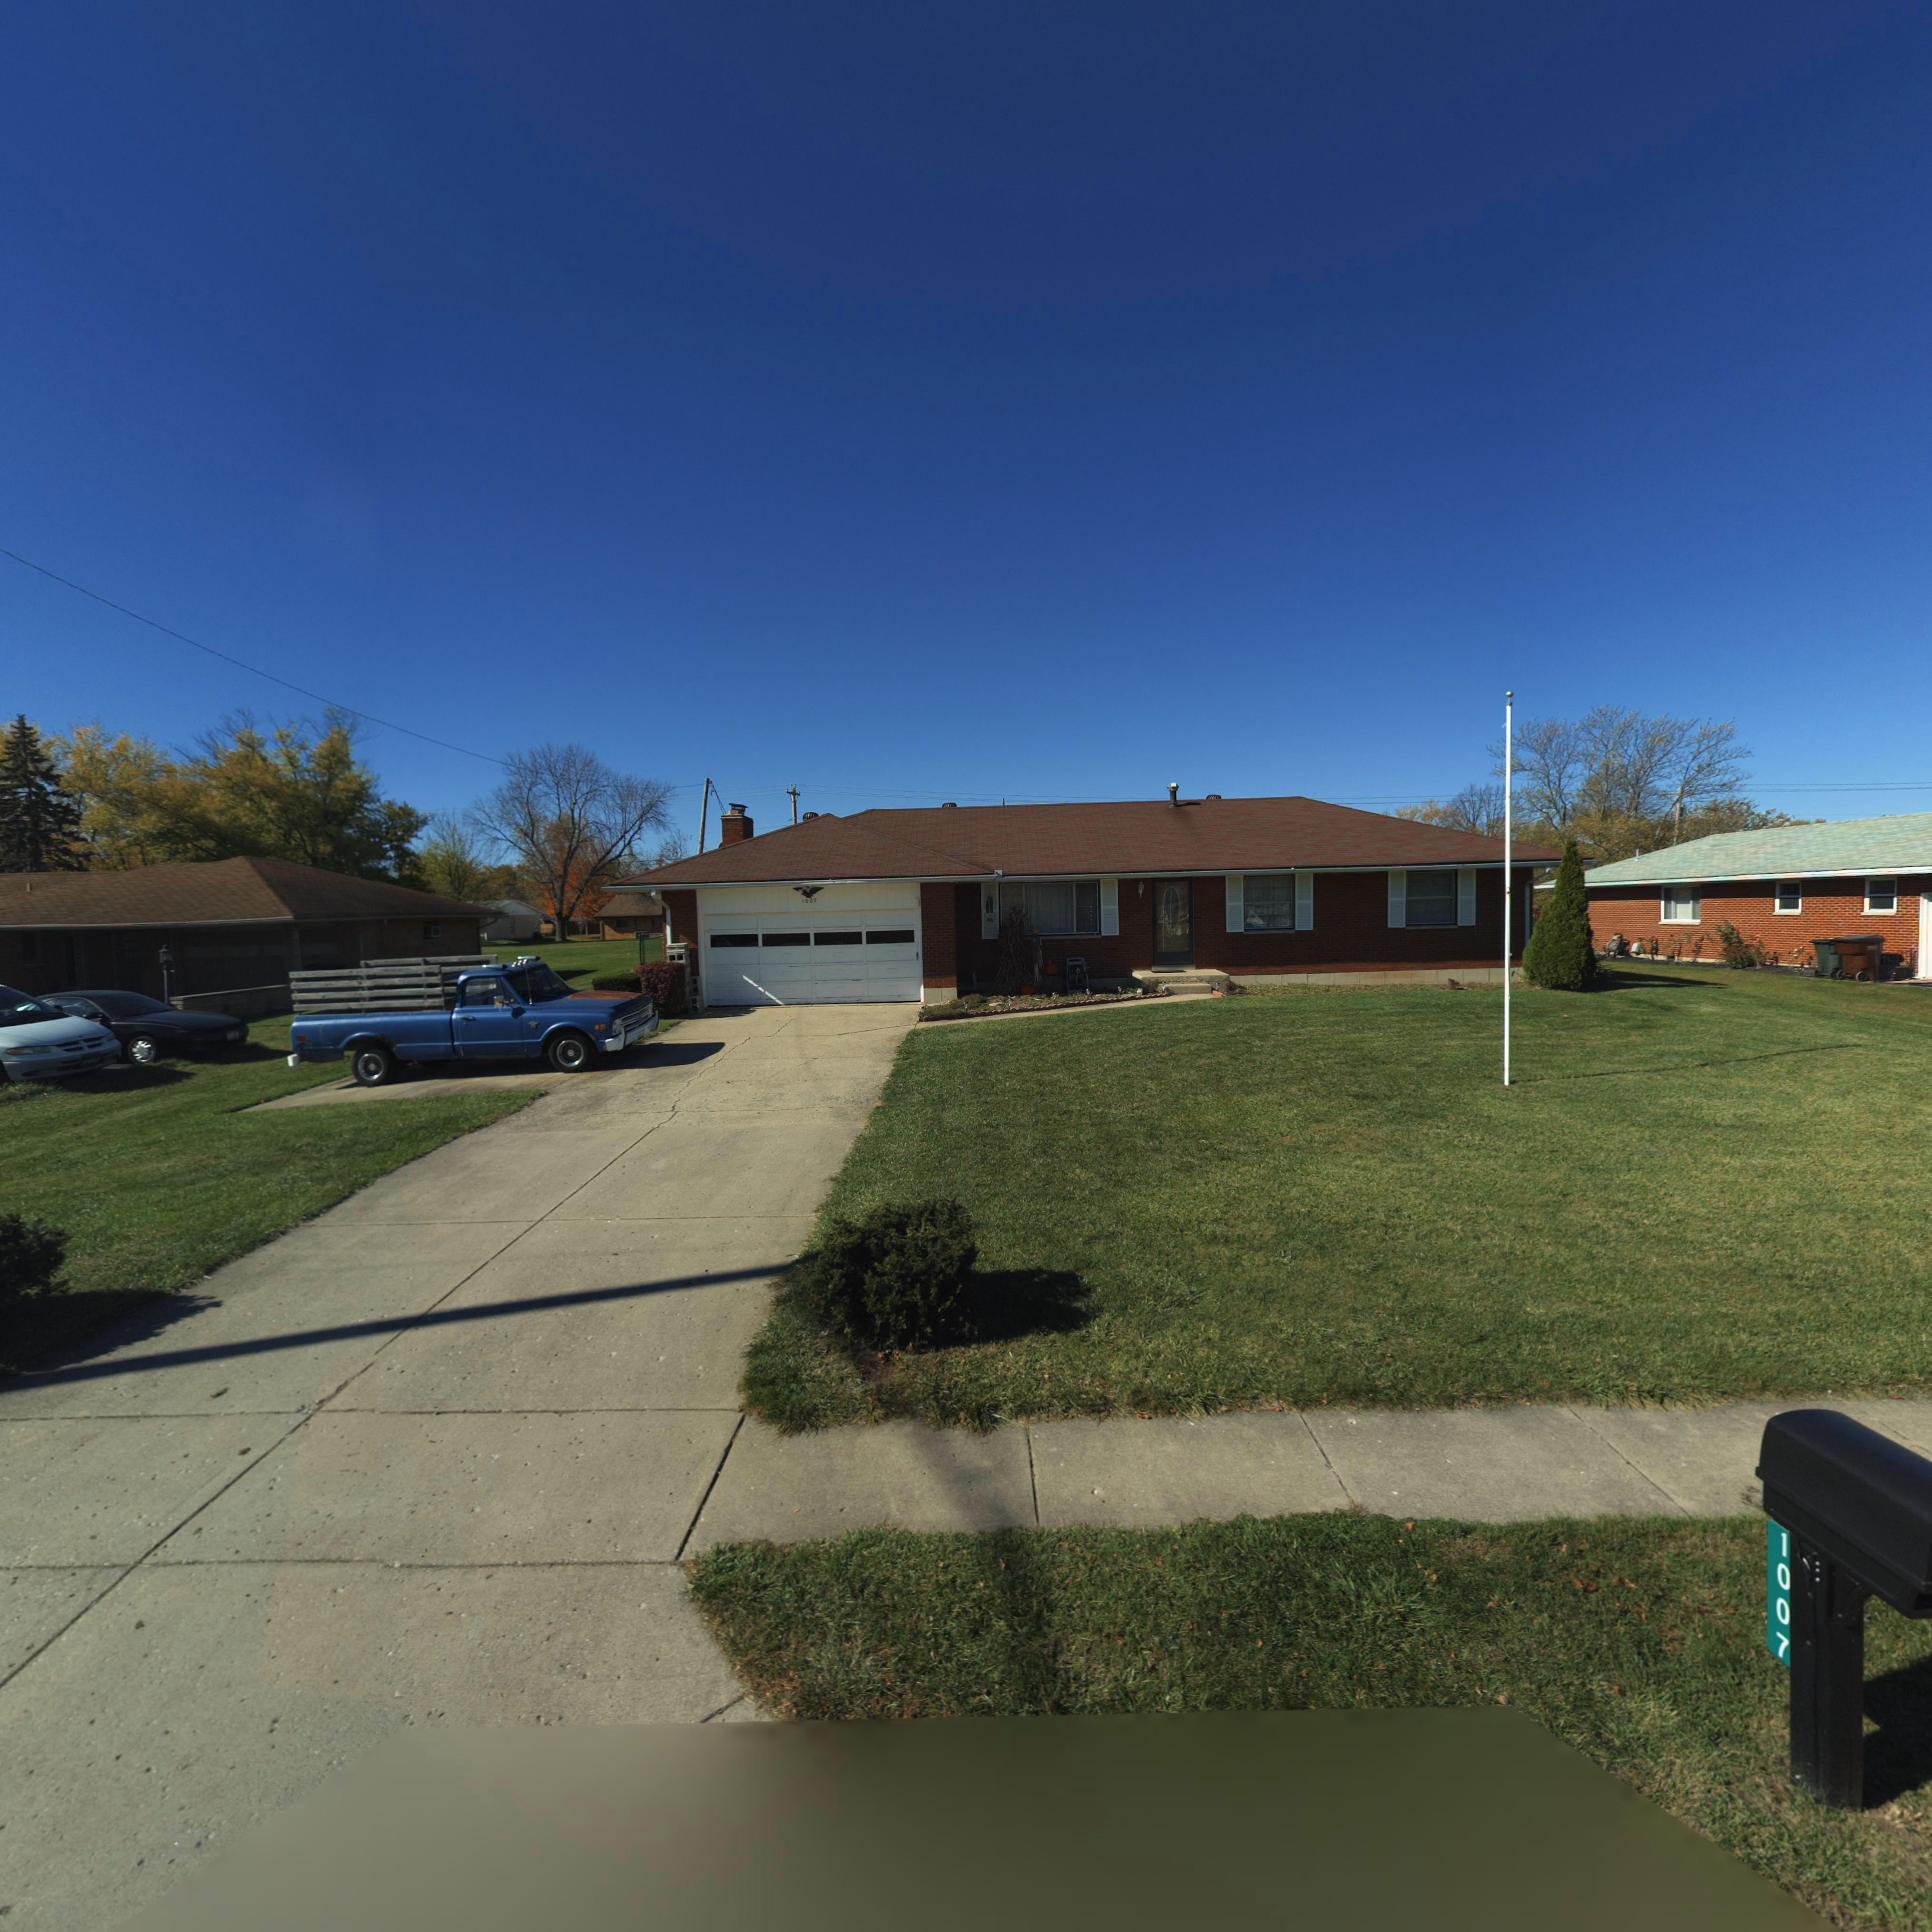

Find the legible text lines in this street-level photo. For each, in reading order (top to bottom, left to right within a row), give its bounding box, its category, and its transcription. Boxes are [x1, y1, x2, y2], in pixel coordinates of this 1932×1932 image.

[801, 898, 818, 904] StreetNumber: 1007
[1775, 1530, 1793, 1662] StreetNumber: 1007